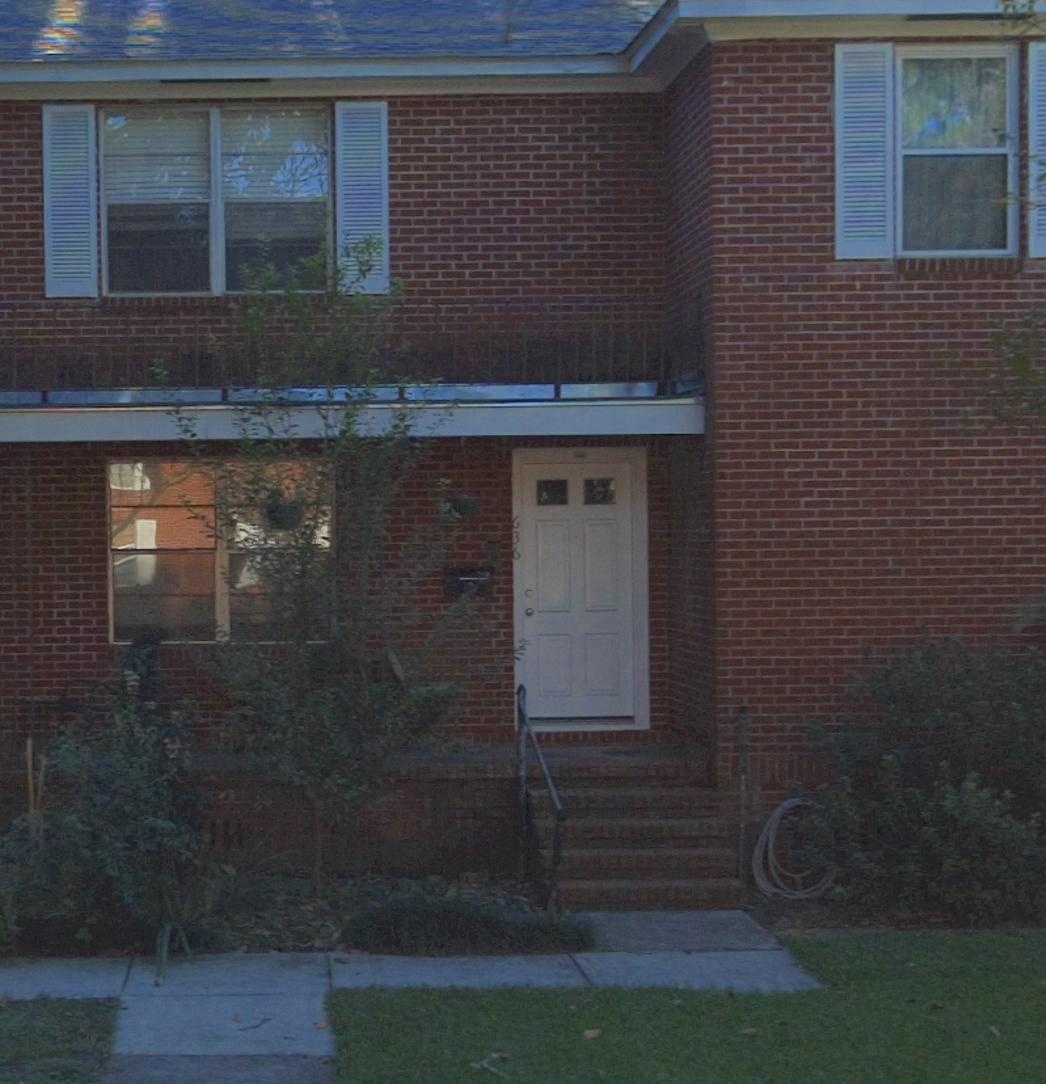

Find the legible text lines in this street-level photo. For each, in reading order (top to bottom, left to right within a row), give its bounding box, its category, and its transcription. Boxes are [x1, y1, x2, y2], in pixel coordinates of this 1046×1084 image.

[509, 512, 522, 563] StreetNumber: 636